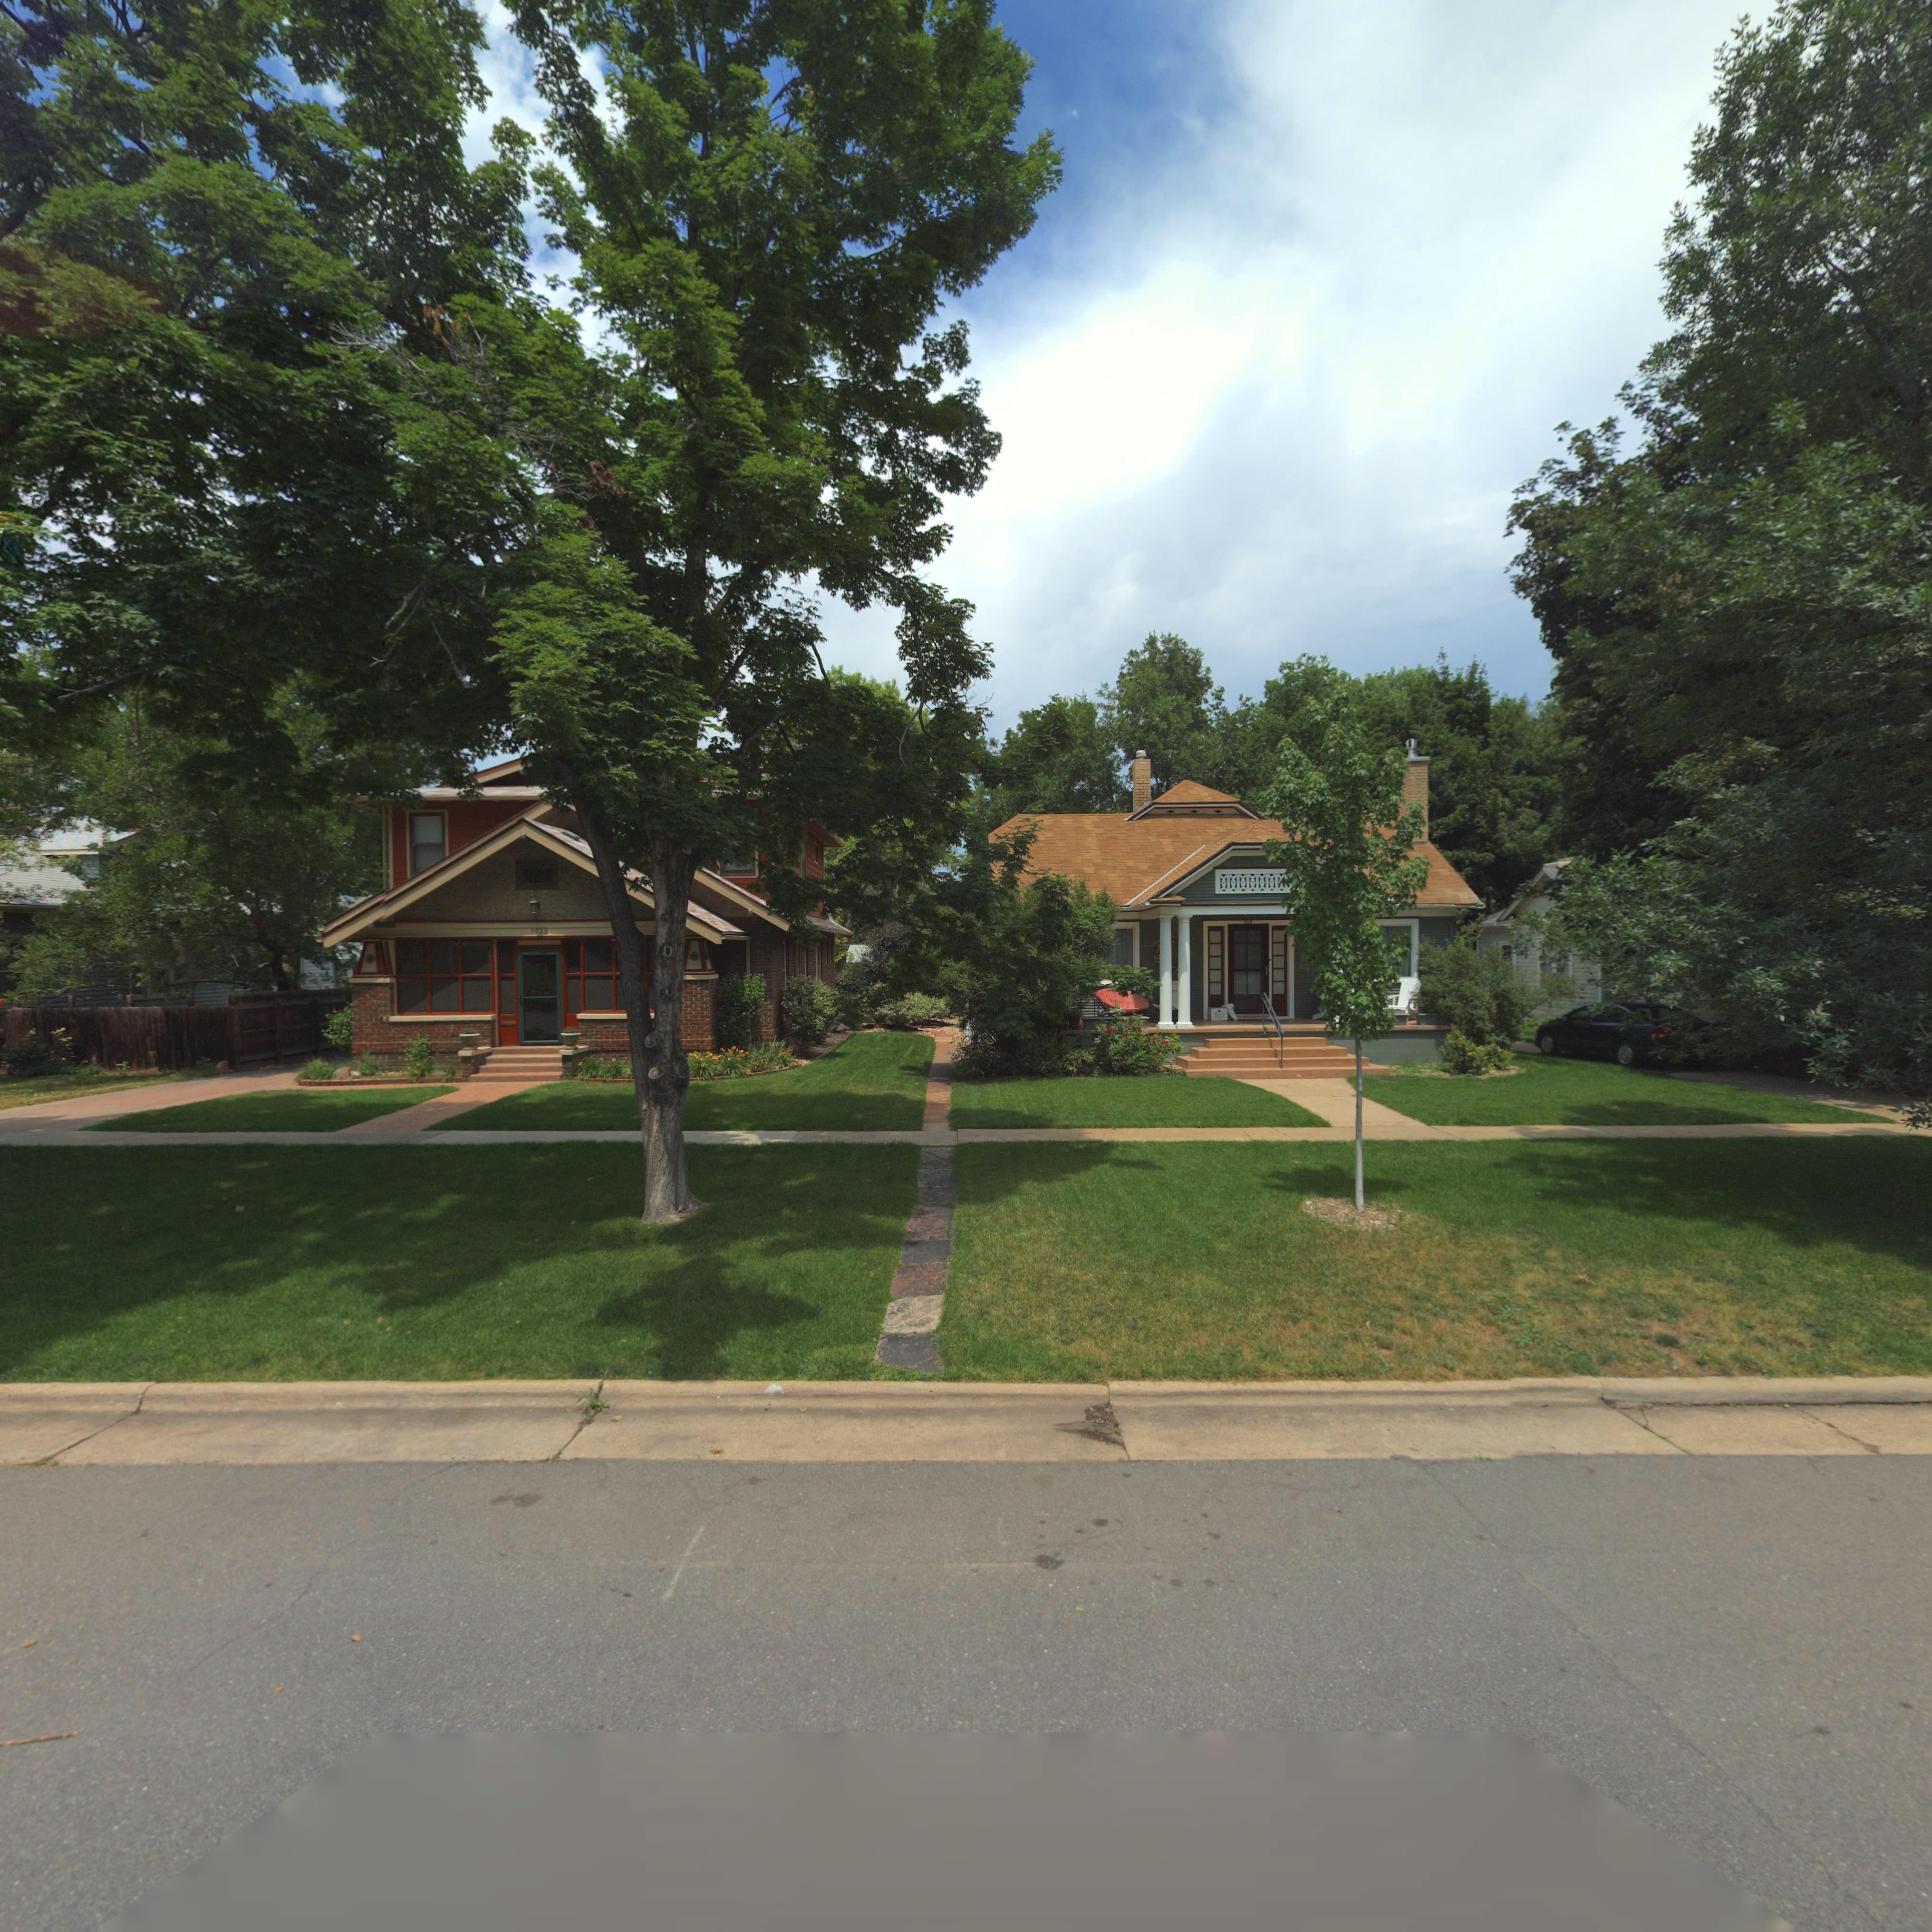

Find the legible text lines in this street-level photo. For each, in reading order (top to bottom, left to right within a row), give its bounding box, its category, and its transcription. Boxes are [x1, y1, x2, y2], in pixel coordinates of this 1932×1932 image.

[1243, 919, 1253, 924] StreetNumber: 1014
[530, 927, 549, 934] StreetNumber: 1022